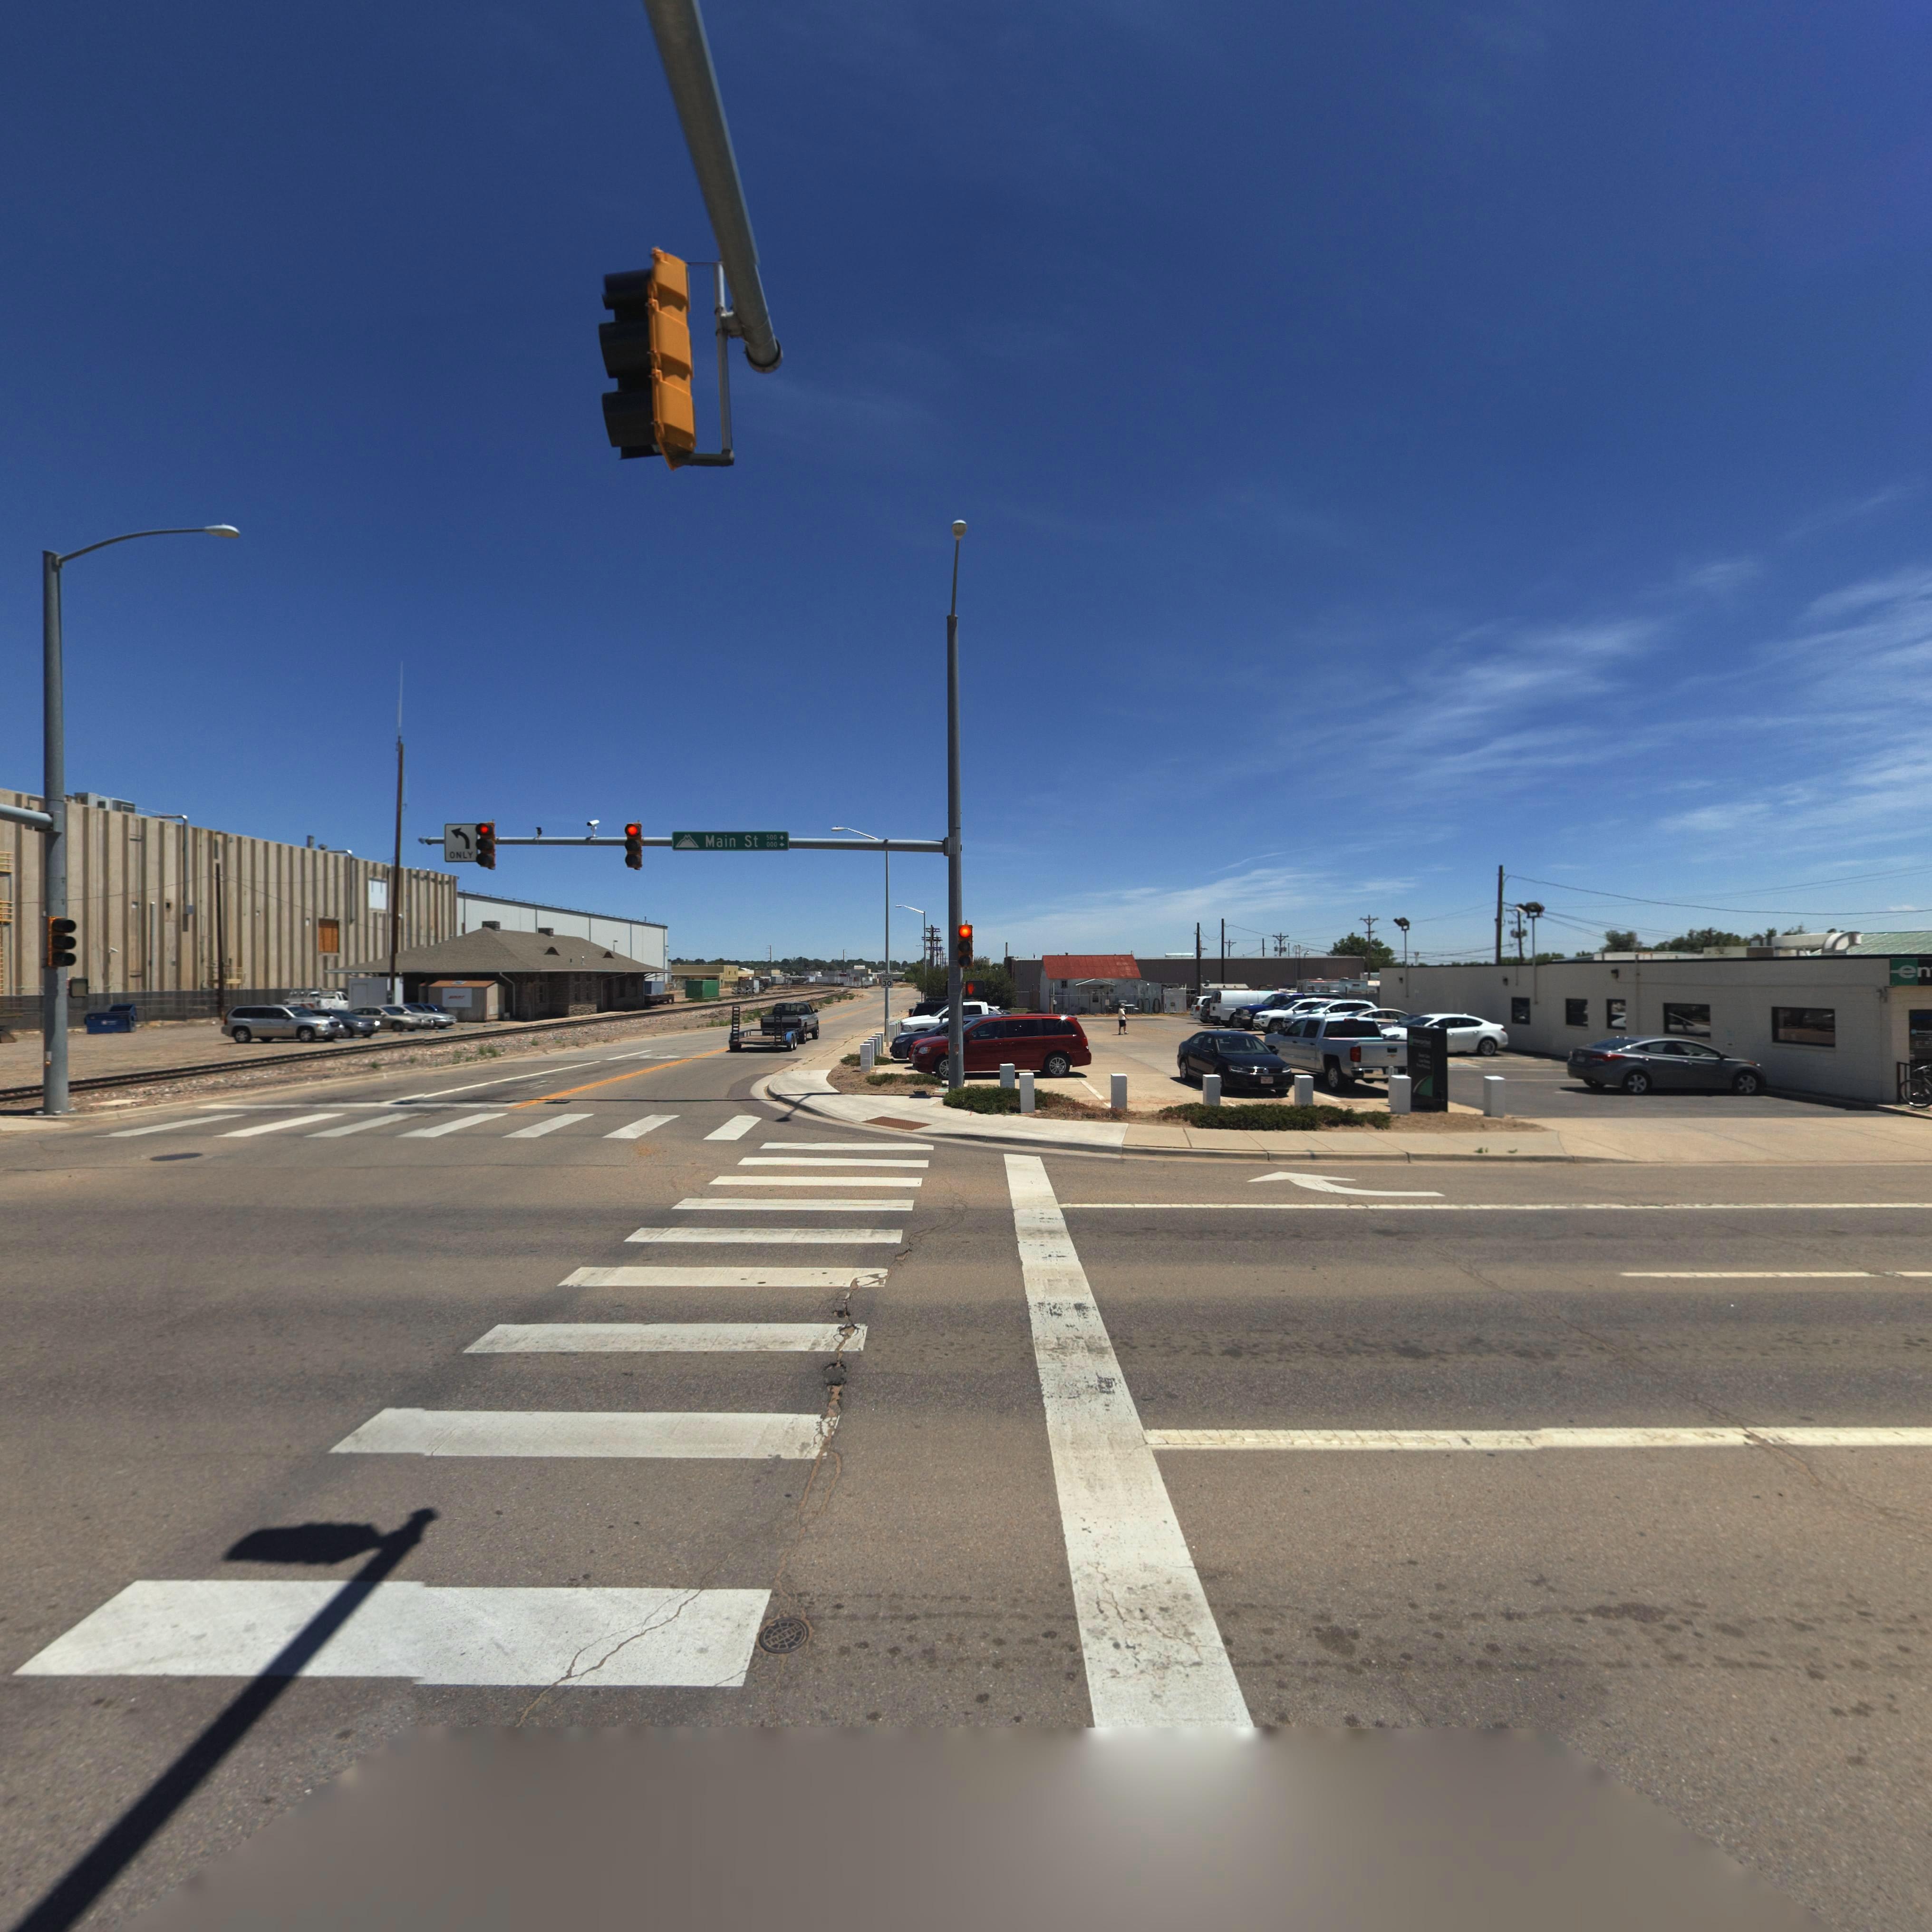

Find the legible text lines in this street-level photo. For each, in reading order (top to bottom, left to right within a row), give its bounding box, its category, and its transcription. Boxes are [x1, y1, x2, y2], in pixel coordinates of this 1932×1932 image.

[765, 834, 777, 840] StreetNumberRange: 500
[705, 833, 759, 848] StreetName: Main St
[766, 841, 785, 848] StreetNumberRange: 000->
[1890, 964, 1931, 978] BusinessName: en
[882, 981, 891, 986] StreetNumber: 30